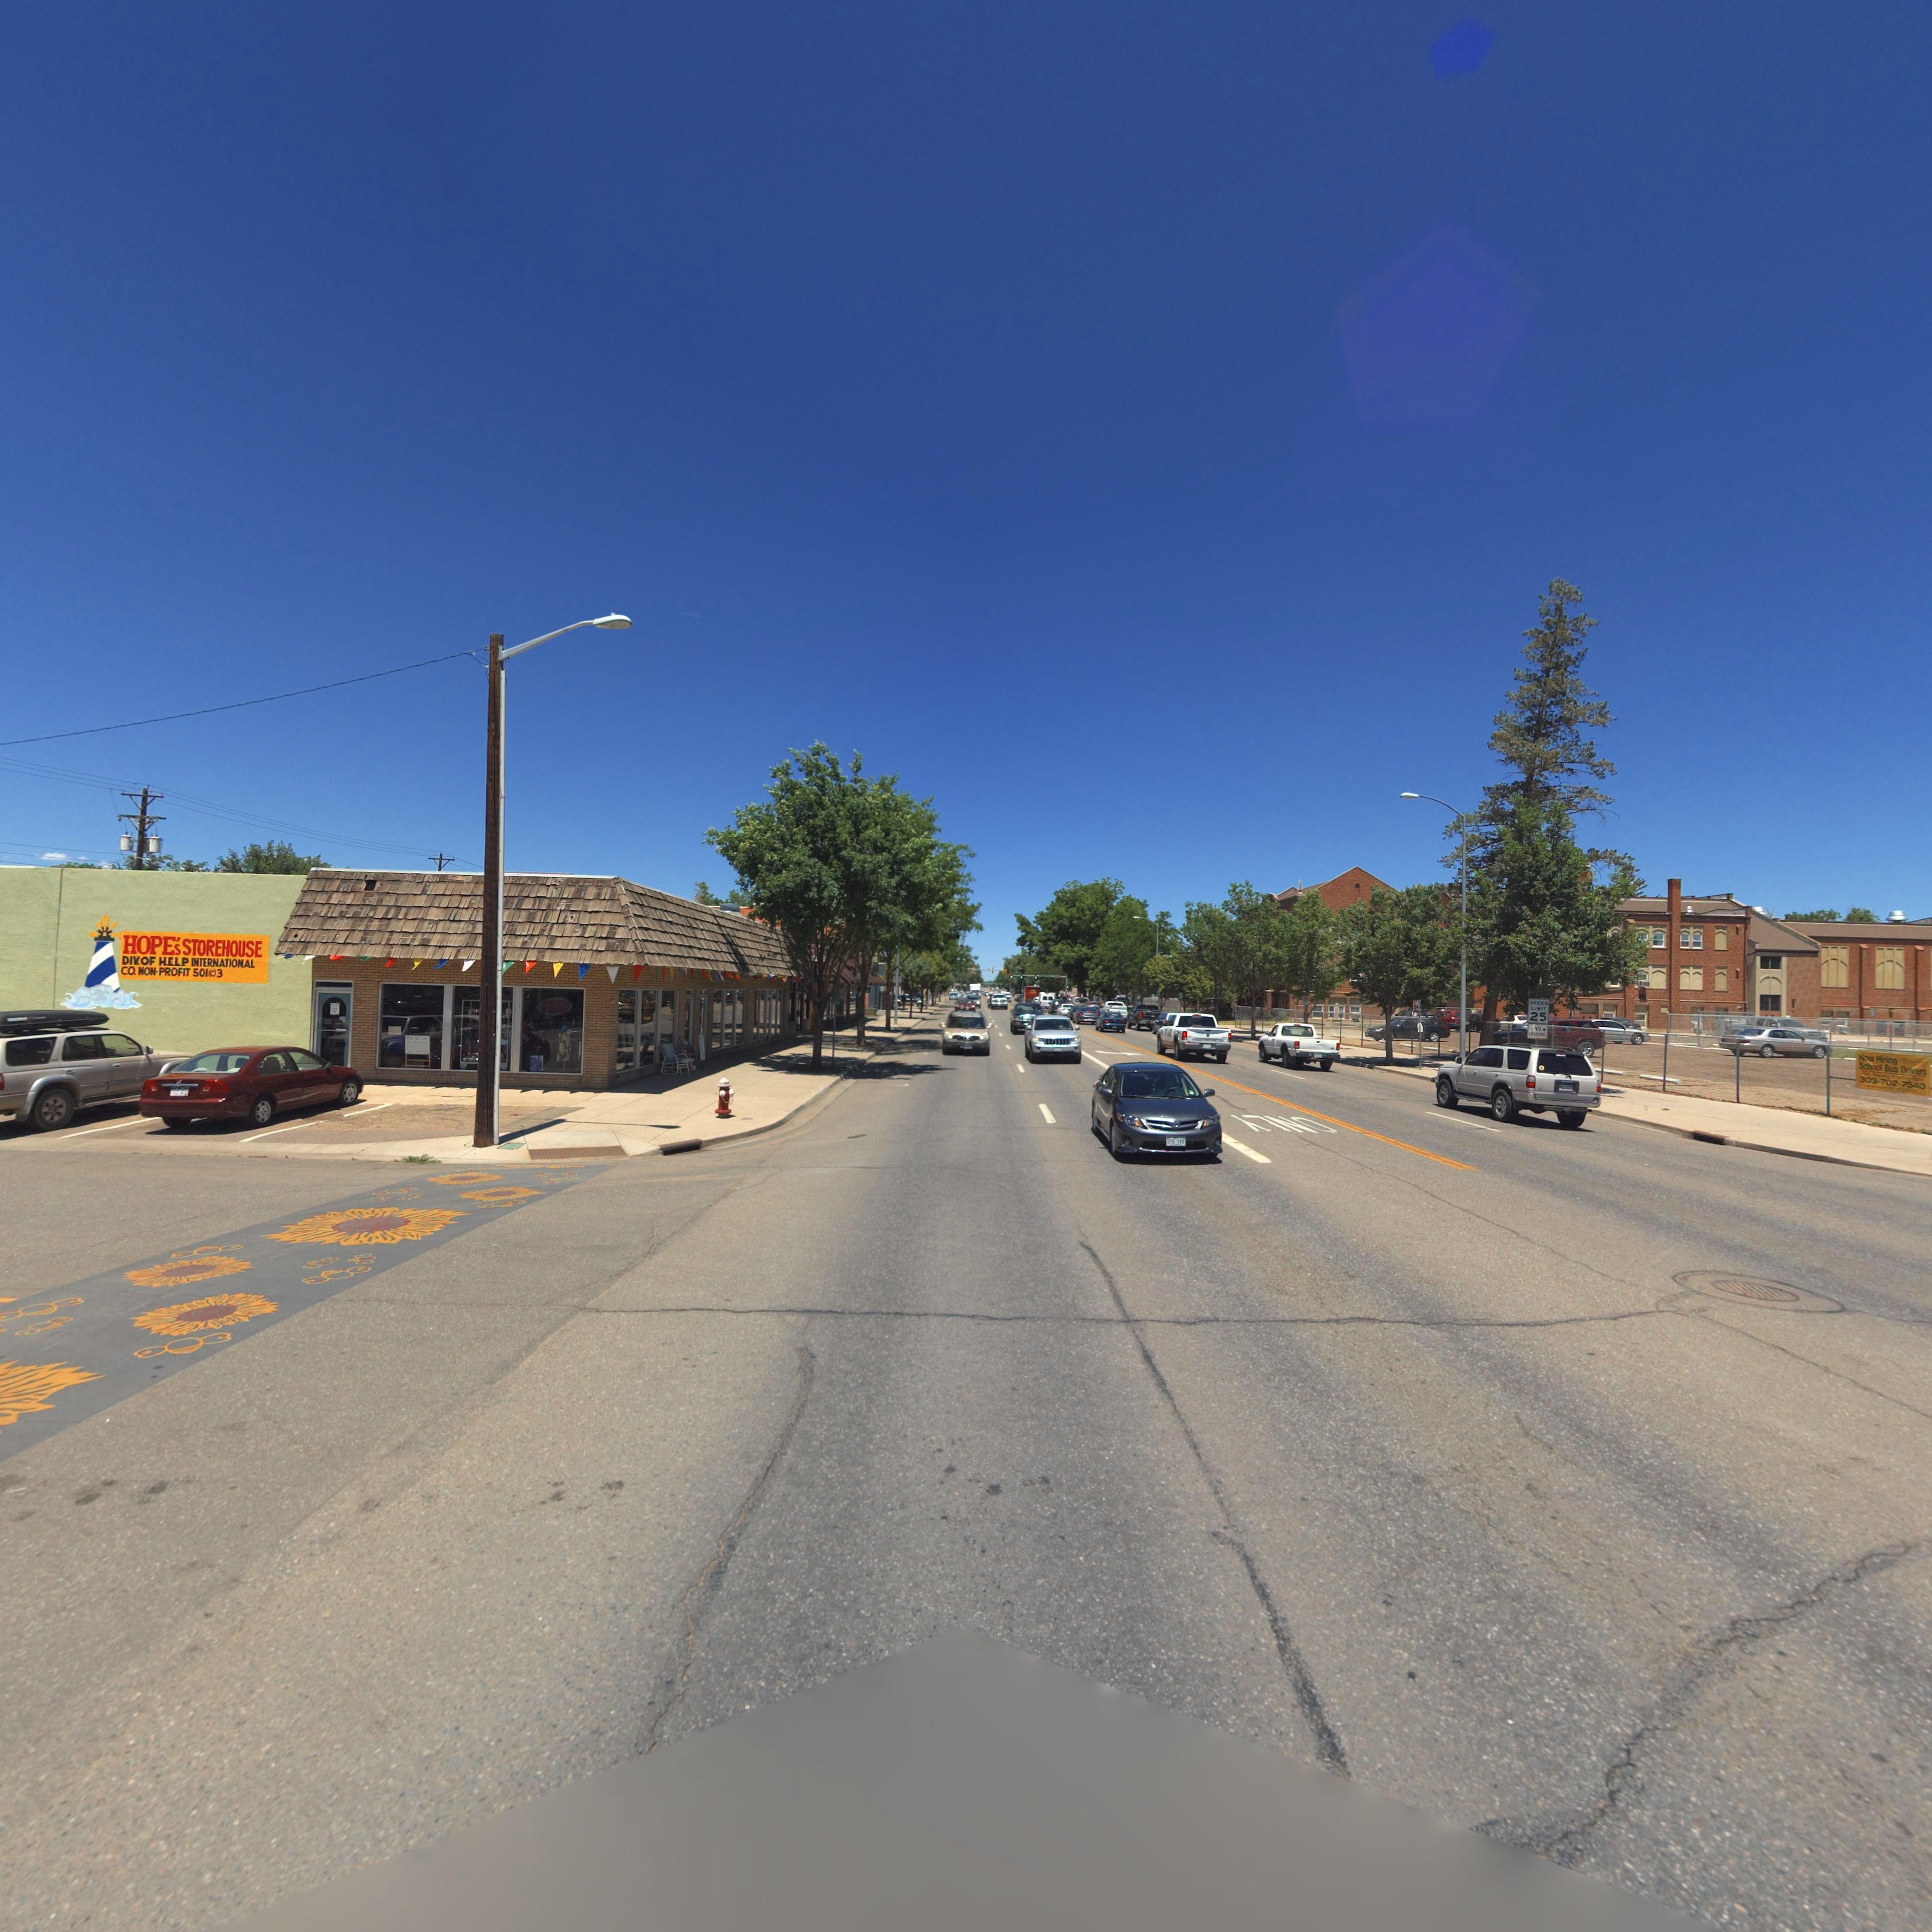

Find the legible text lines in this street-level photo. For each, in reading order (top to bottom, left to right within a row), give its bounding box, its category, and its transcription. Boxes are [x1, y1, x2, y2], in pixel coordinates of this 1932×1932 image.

[122, 934, 262, 957] BusinessName: HOPE'S STOREHOUSE
[620, 993, 635, 1006] BusinessName: Hope's
[621, 1009, 632, 1014] BusinessName: S*******s